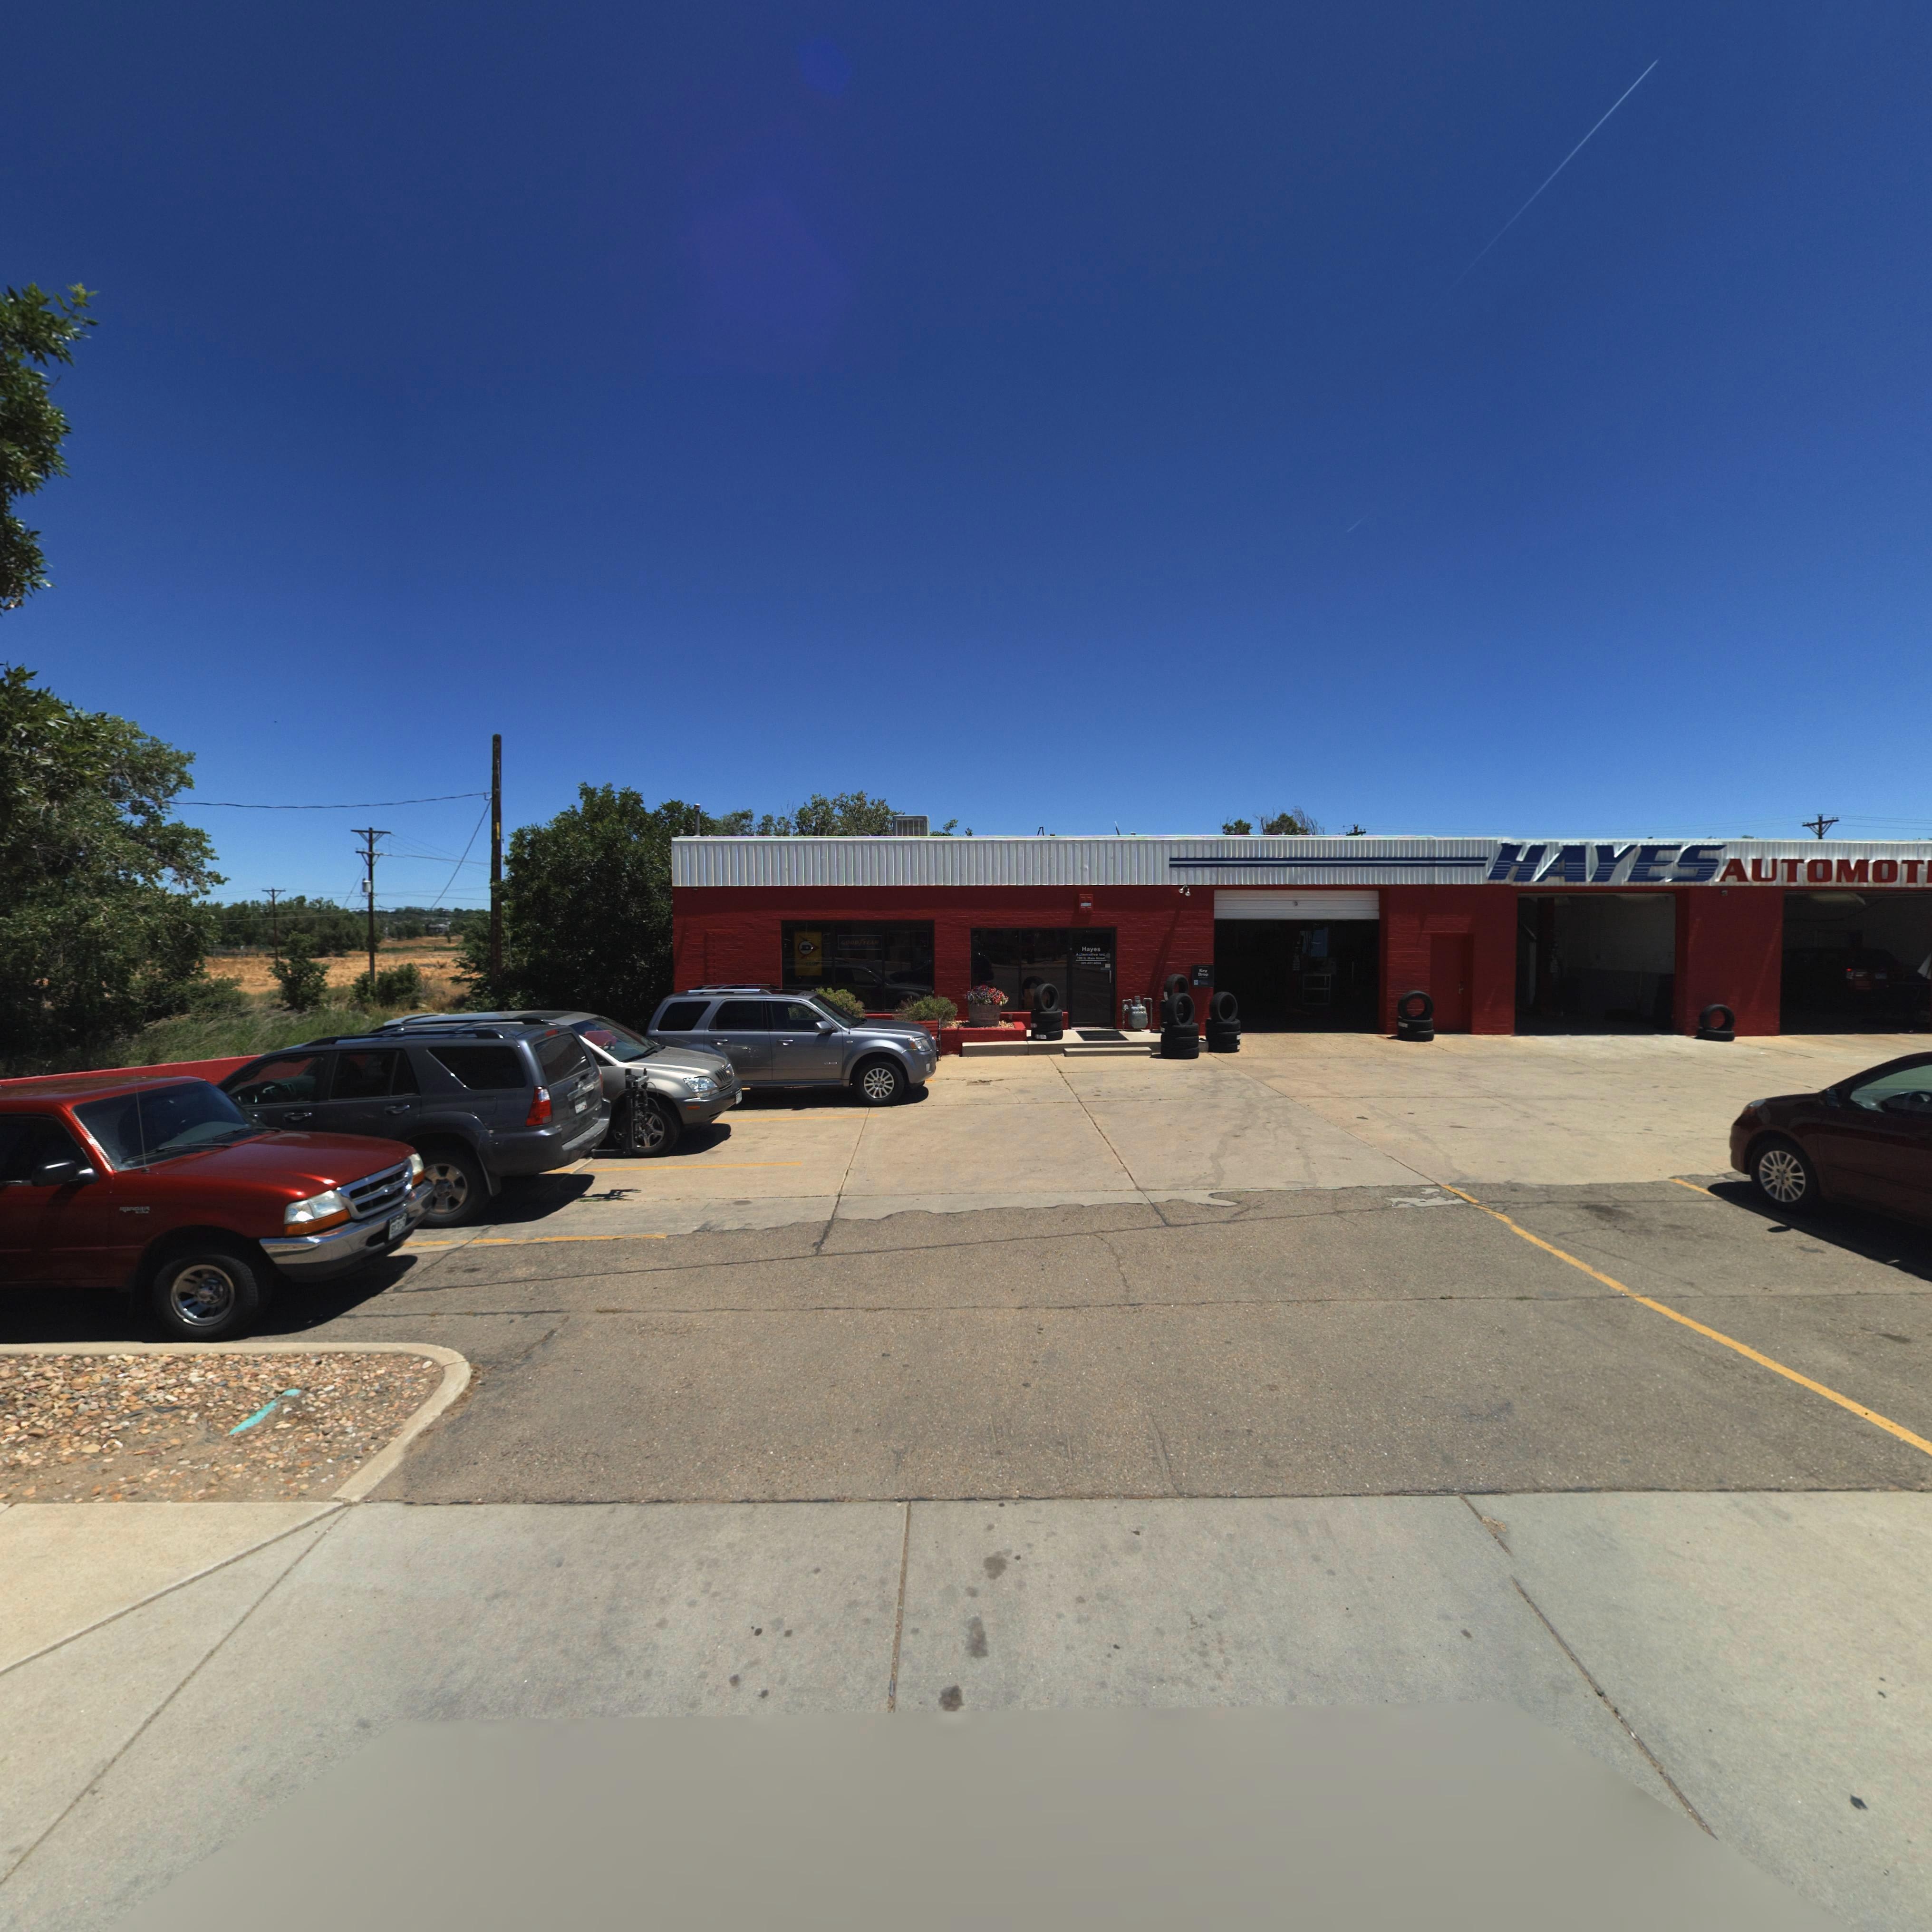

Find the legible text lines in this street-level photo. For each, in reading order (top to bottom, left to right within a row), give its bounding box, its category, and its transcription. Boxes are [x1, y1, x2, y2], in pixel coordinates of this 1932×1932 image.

[1486, 843, 1926, 883] BusinessName: HAYES AUTOMOT
[1082, 946, 1101, 952] BusinessName: Hayes
[1077, 956, 1082, 959] StreetNumber: 1**